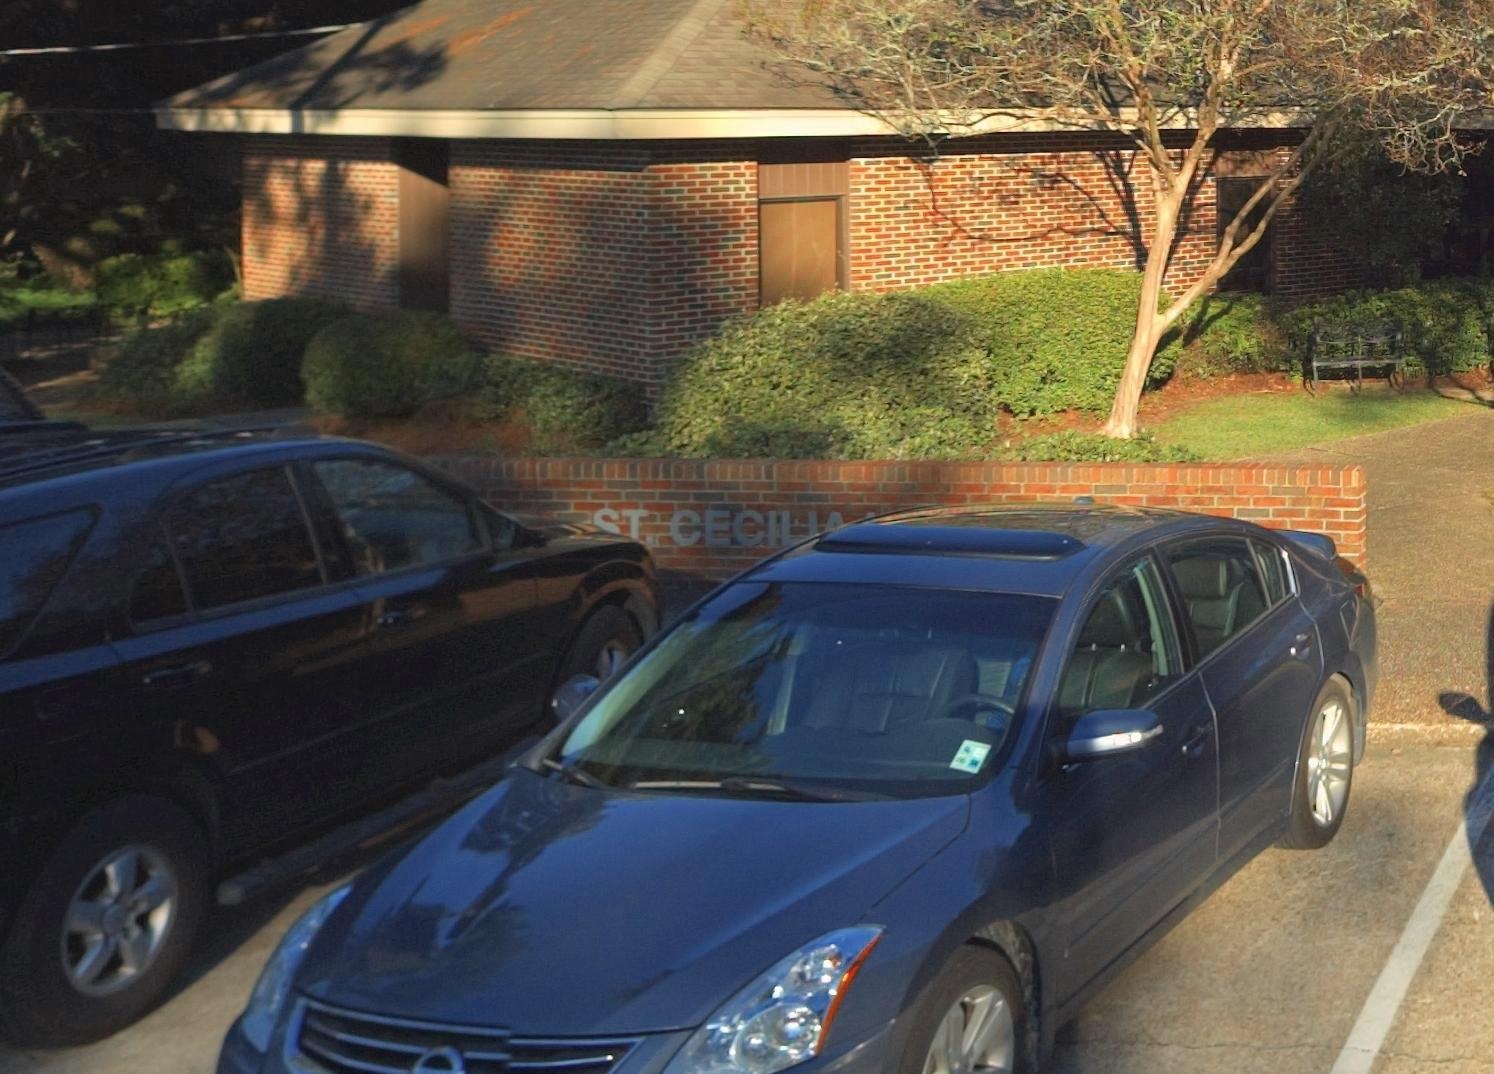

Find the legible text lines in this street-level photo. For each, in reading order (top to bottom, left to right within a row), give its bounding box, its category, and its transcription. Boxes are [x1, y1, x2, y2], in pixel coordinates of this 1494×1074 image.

[619, 507, 803, 548] BusinessName: T. CECIL